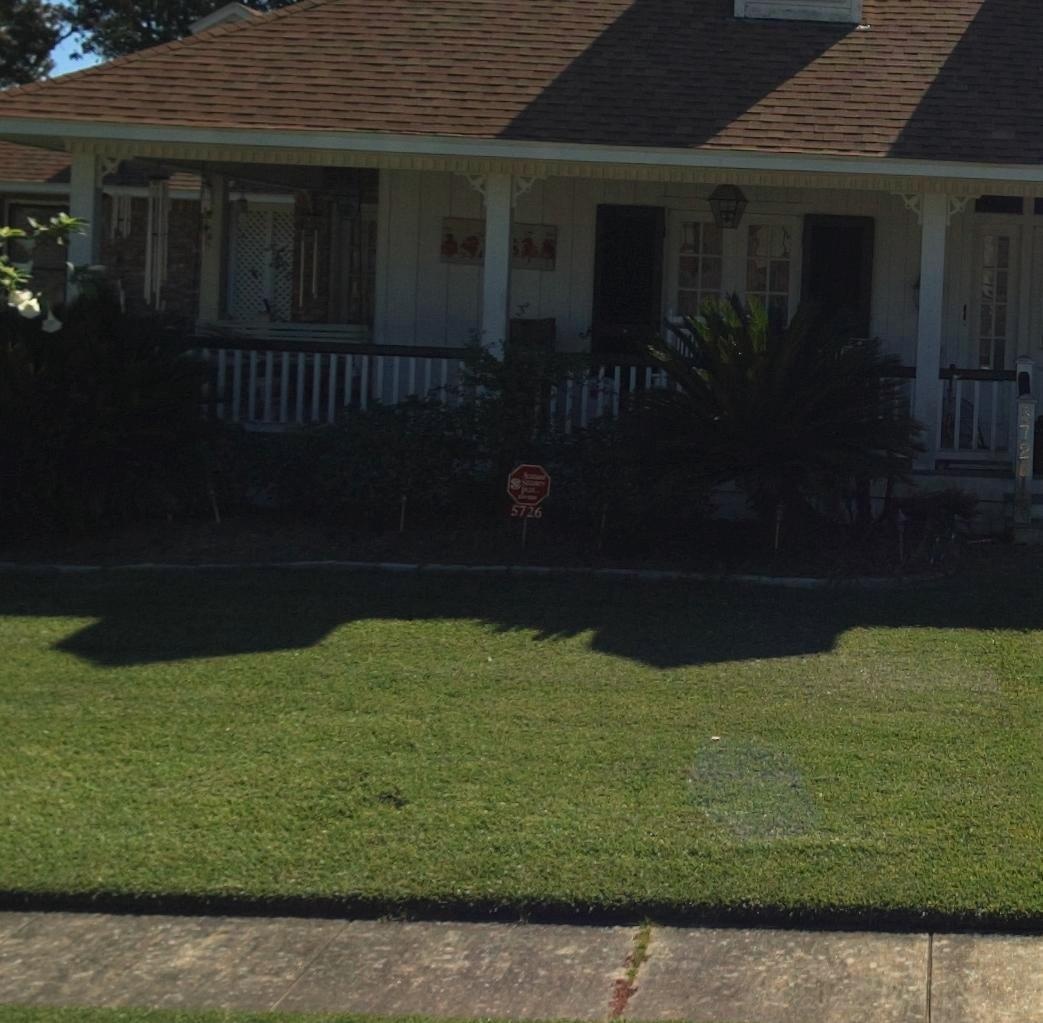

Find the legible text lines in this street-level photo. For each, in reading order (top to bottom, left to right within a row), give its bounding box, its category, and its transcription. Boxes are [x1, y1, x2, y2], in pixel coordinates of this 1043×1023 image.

[1016, 403, 1034, 479] StreetNumber: *72*
[508, 502, 545, 521] StreetNumber: 5726